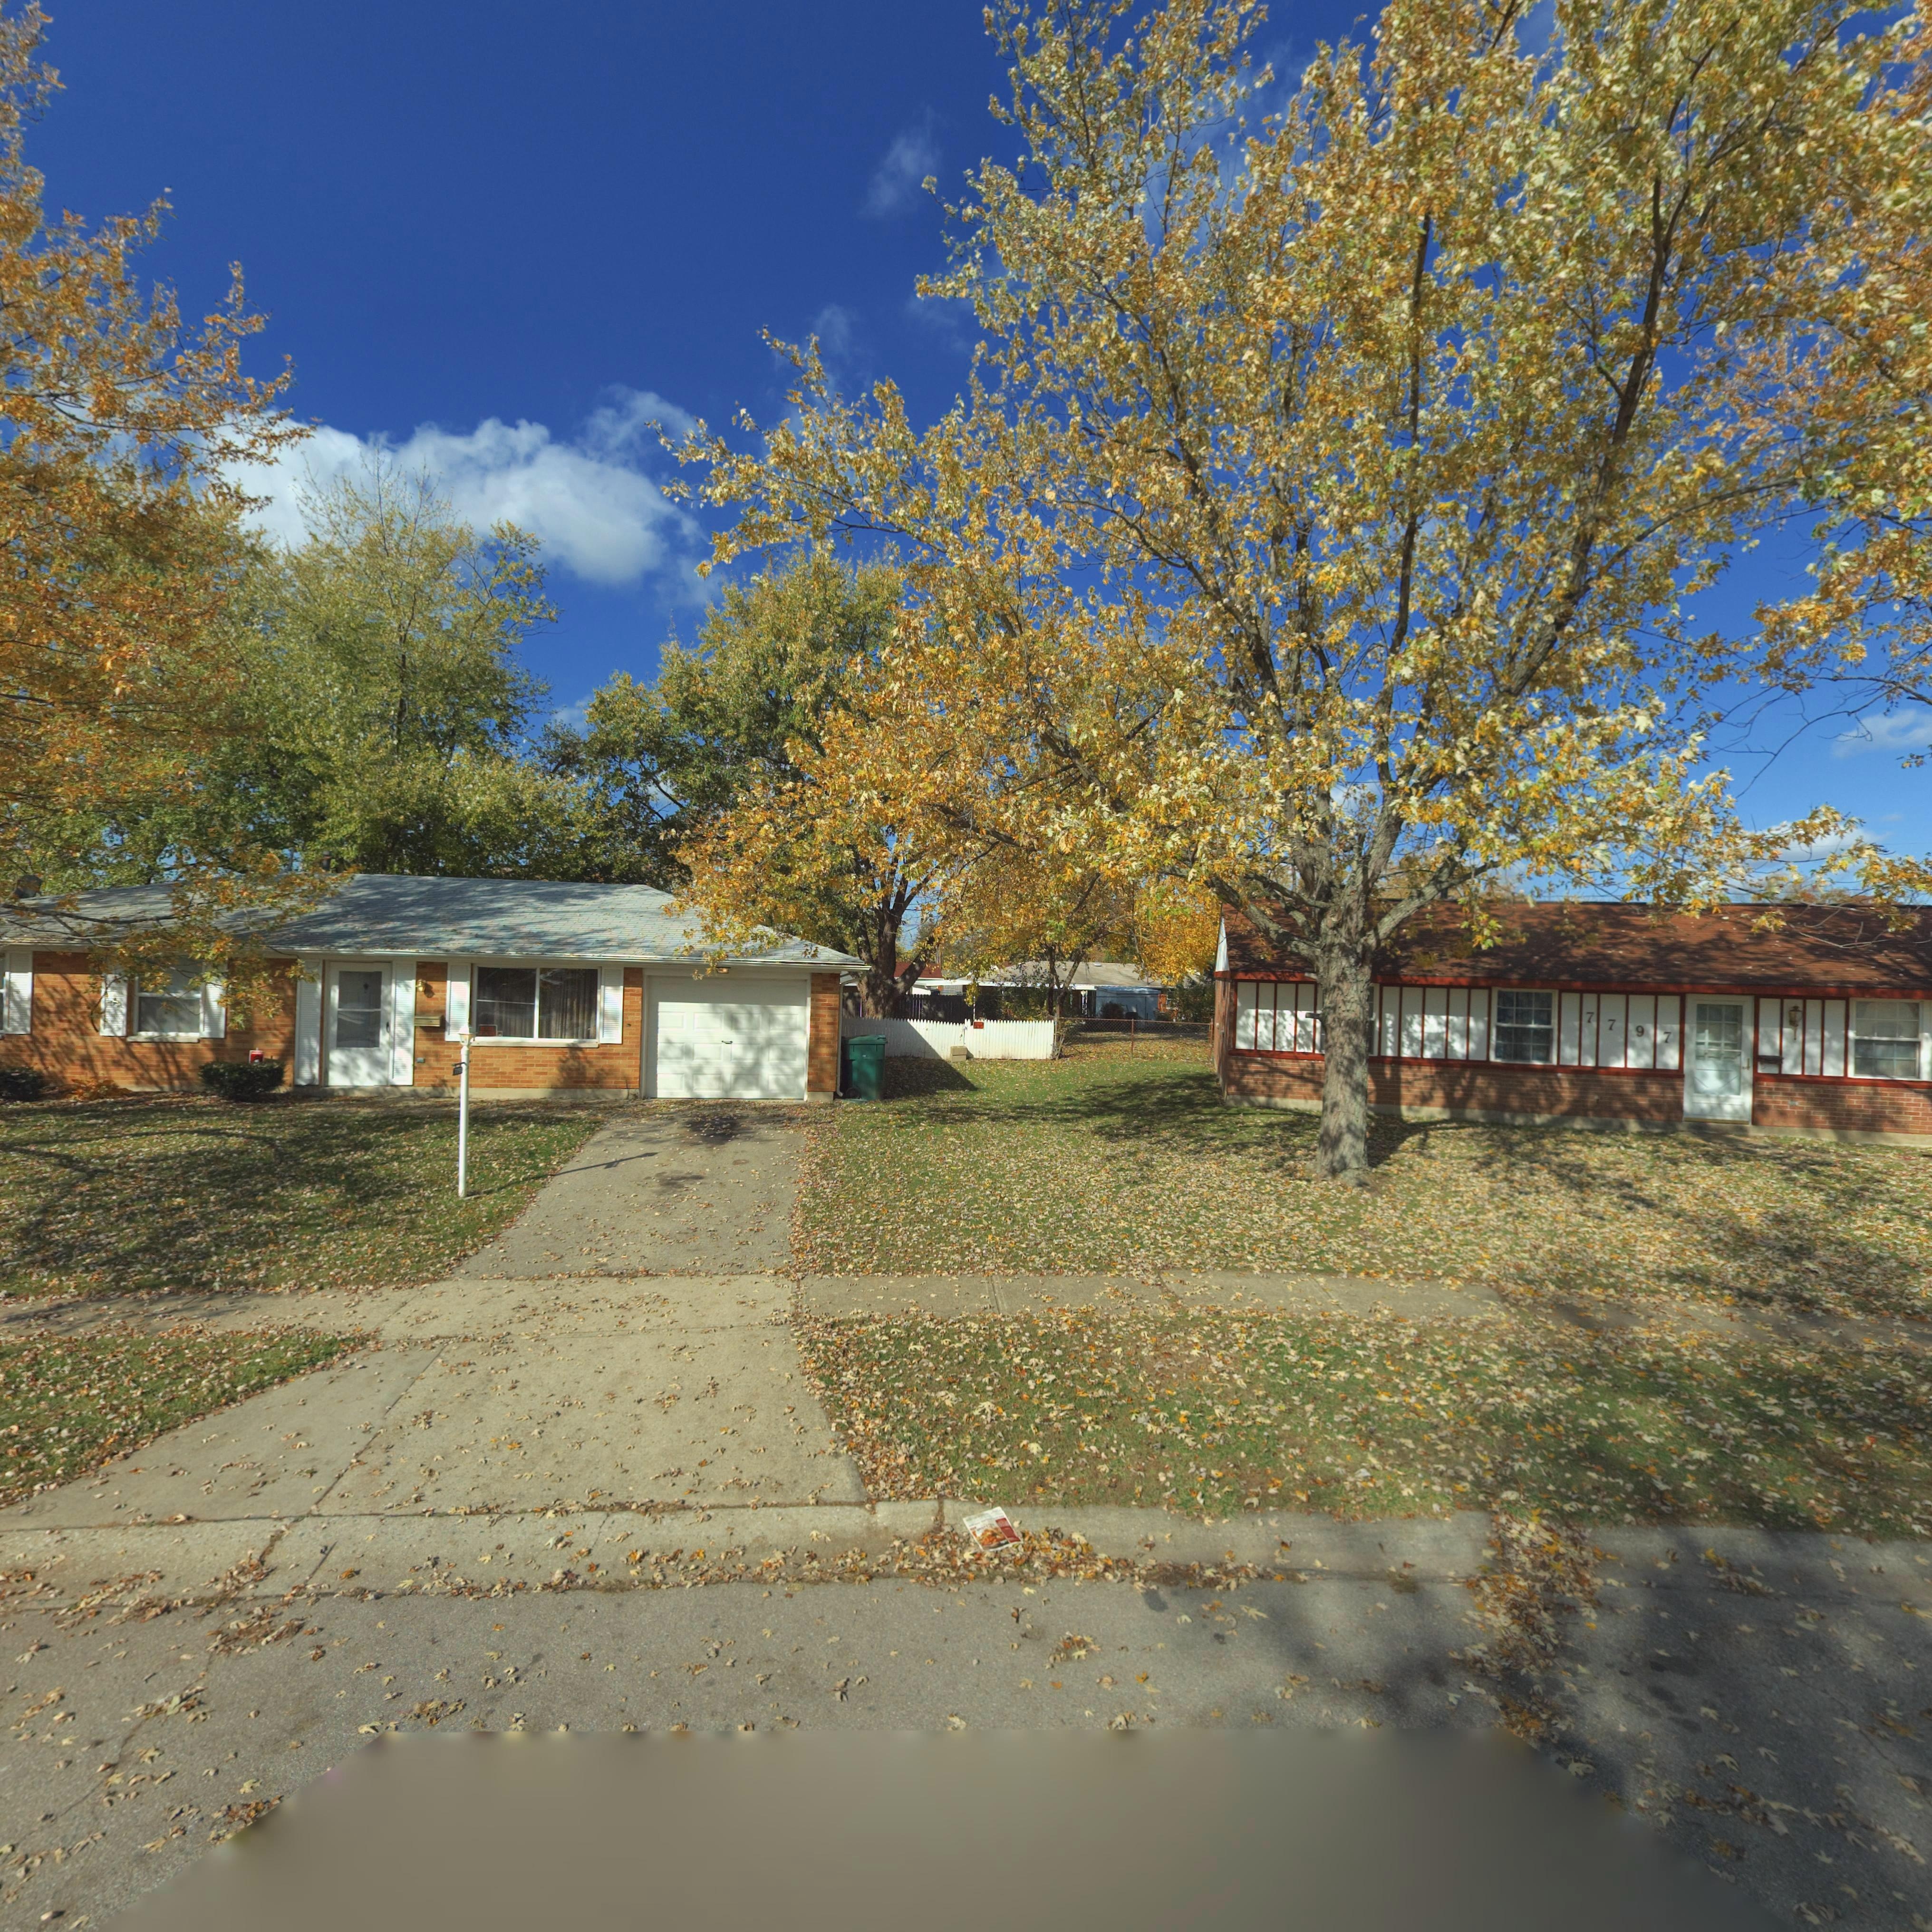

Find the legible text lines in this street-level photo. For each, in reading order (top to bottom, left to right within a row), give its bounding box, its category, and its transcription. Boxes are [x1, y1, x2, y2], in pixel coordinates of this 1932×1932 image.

[1585, 1011, 1672, 1044] StreetNumber: 7797
[454, 1066, 463, 1075] StreetNumber: 779*